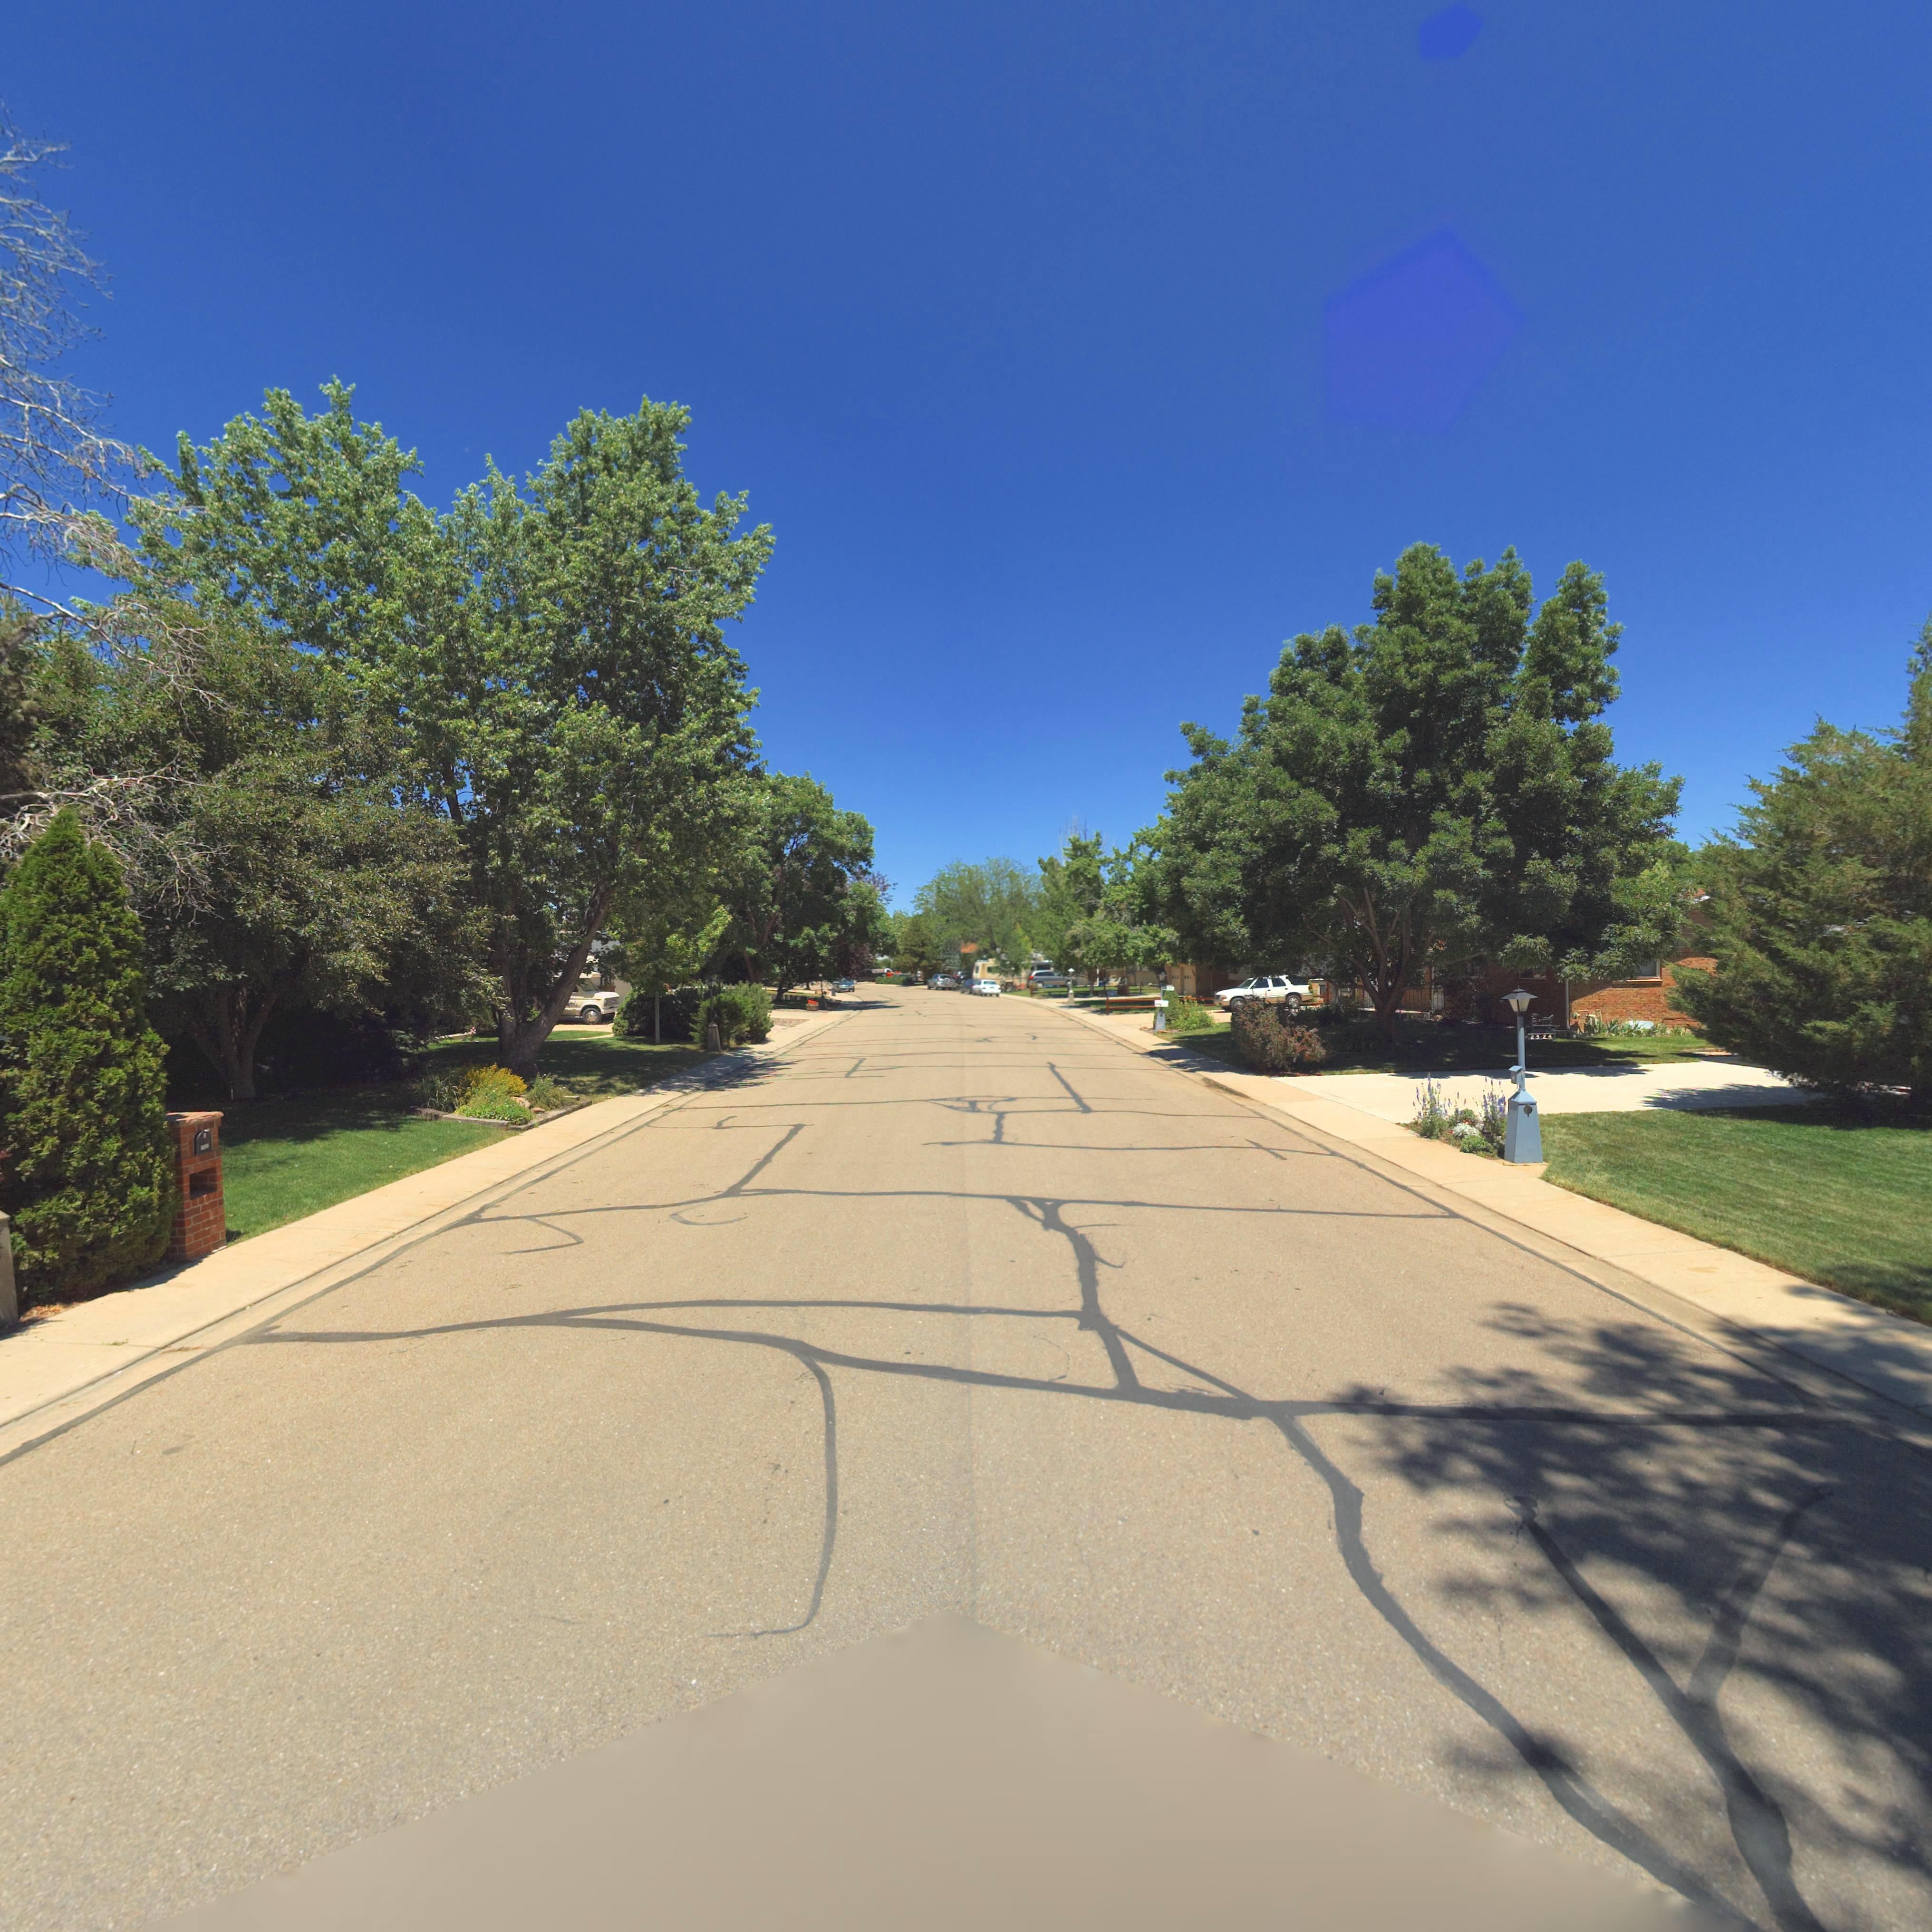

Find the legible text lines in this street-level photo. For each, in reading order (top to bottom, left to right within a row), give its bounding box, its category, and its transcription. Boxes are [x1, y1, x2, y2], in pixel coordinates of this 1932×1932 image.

[1529, 1034, 1553, 1040] StreetNumber: 2324